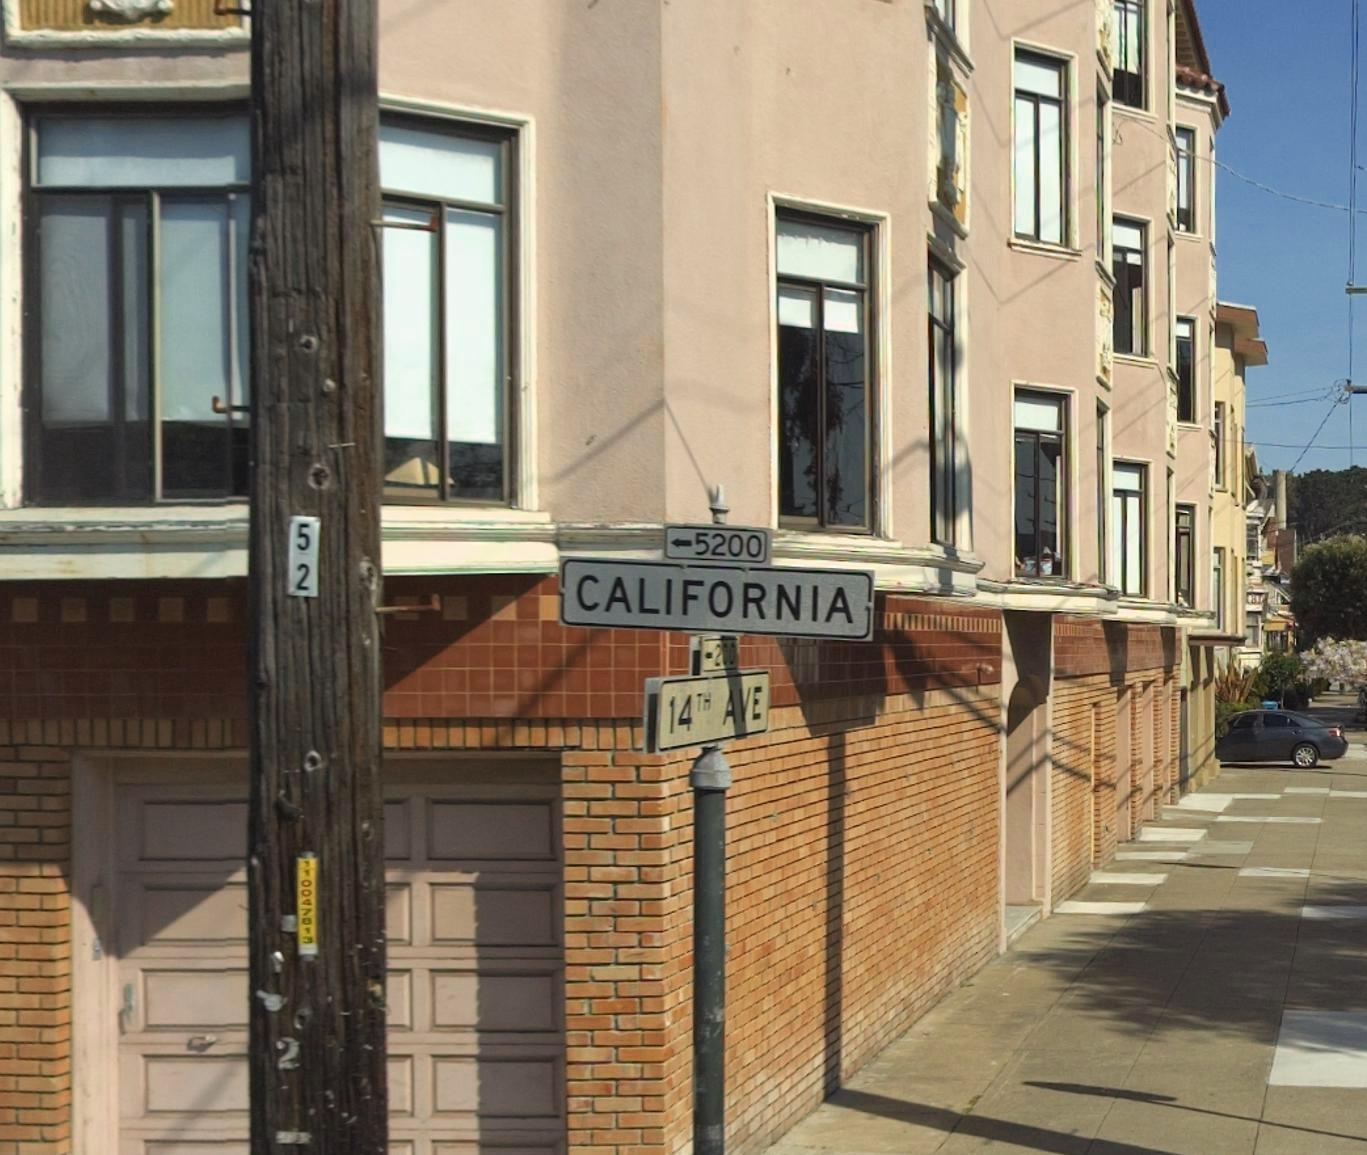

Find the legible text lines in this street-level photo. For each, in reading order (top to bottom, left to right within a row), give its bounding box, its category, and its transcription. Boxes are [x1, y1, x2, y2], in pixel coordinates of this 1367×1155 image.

[289, 520, 316, 596] None: 52
[667, 527, 767, 562] StreetNumberRange: <-5200
[576, 569, 857, 627] StreetName: CALIFORNIA
[702, 640, 740, 671] StreetNumberRange: <-200
[667, 683, 764, 738] StreetName: 14TH AVE
[298, 857, 315, 946] None: 110047813
[273, 1031, 303, 1073] None: 2